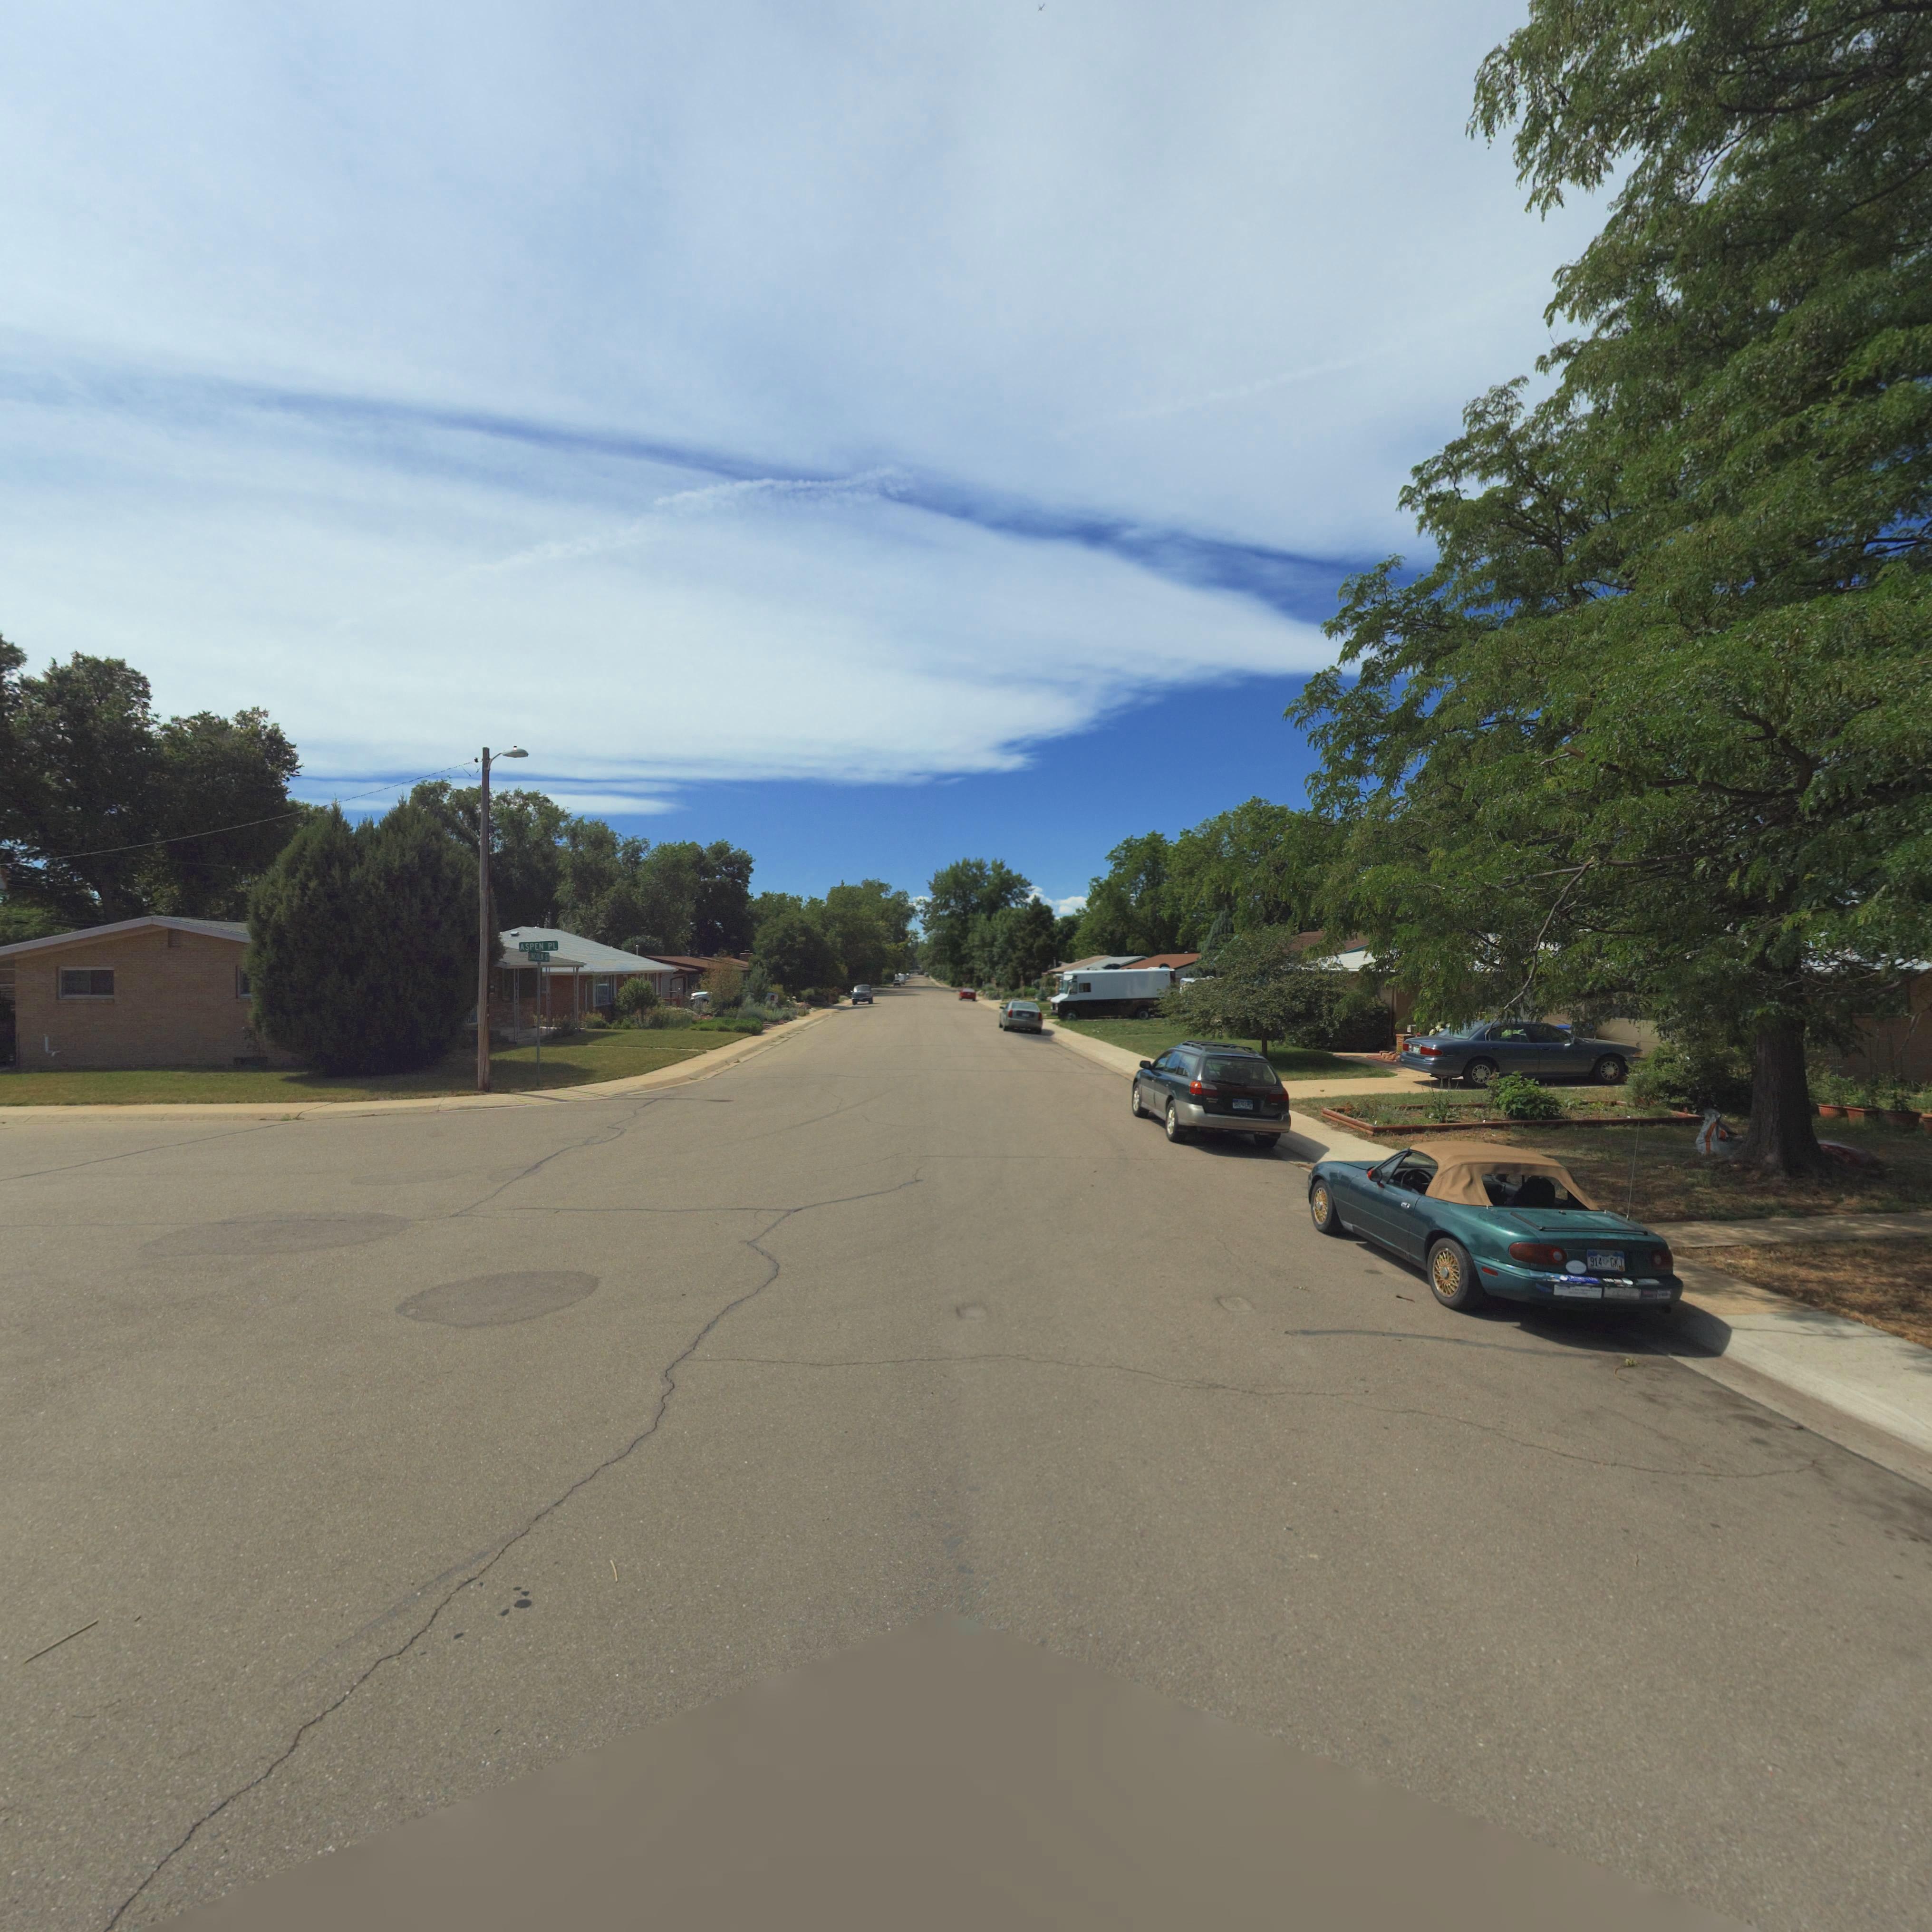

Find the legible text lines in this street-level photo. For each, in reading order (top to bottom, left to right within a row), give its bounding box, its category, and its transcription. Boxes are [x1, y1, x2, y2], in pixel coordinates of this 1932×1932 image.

[520, 942, 557, 950] StreetName: ASPEN PL
[528, 952, 549, 960] StreetName: LINCOLN ST